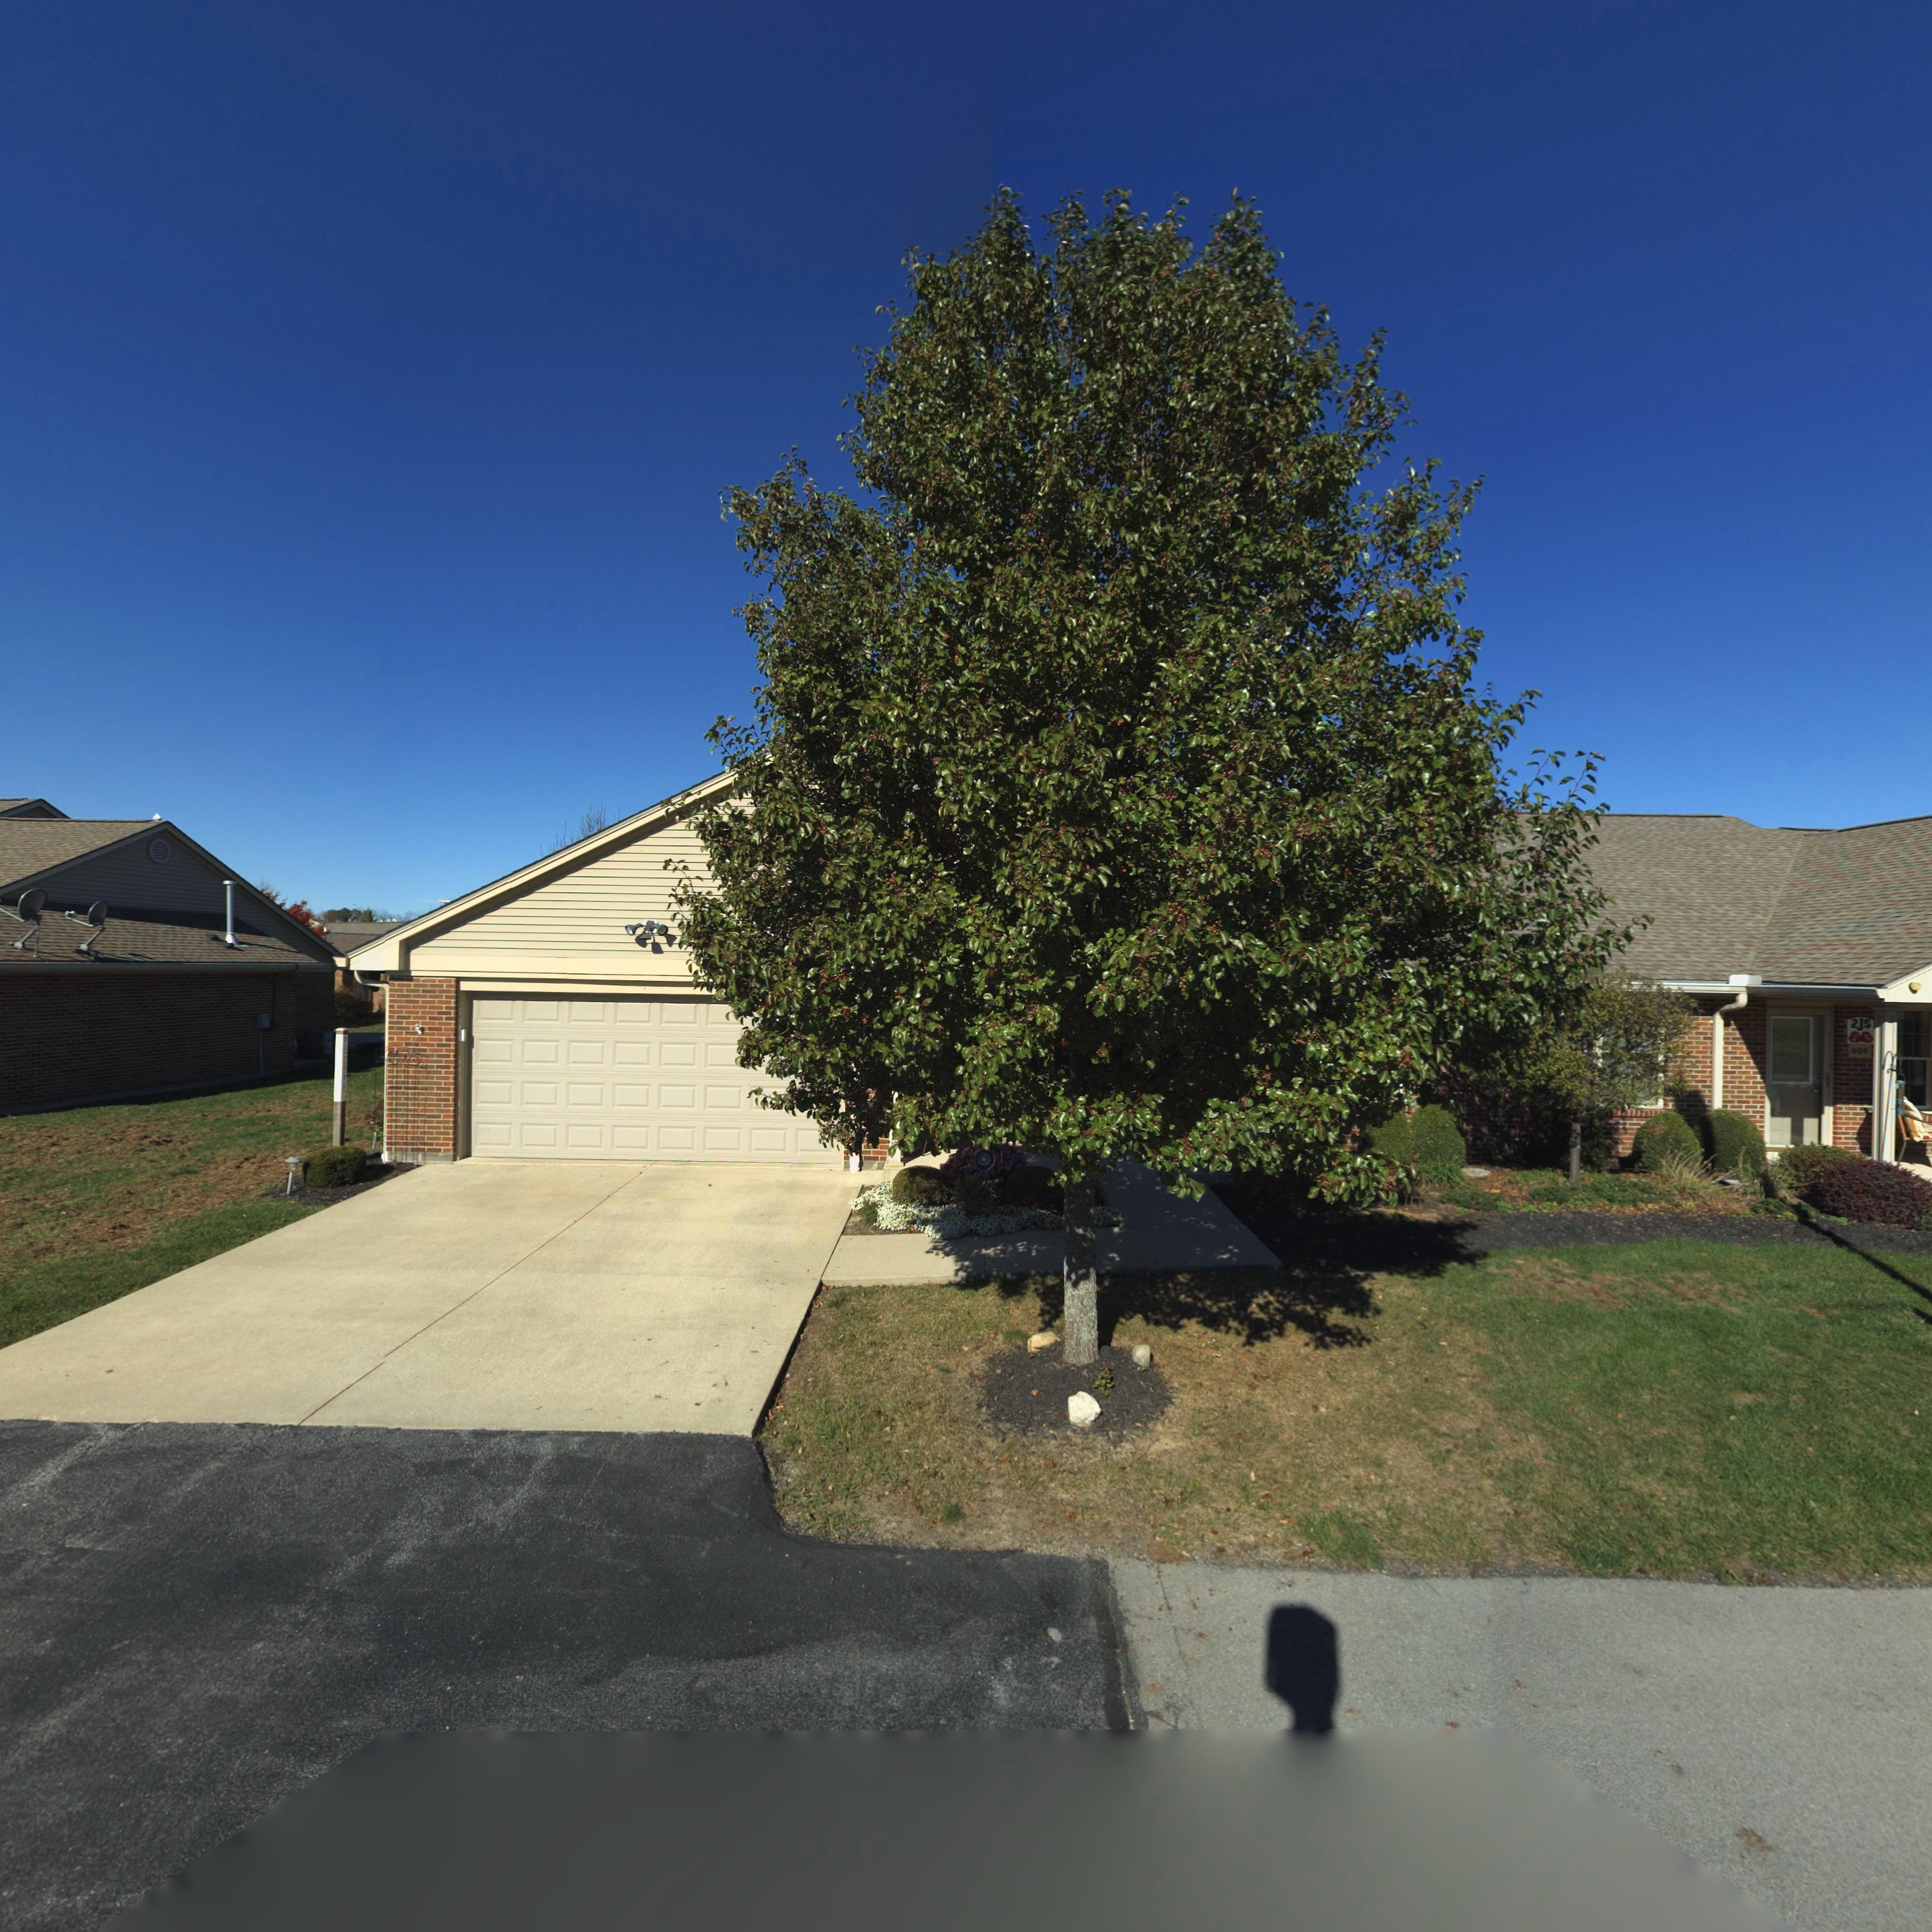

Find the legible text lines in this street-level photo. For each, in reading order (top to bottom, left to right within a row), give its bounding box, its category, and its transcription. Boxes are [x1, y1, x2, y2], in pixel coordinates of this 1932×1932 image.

[1850, 1047, 1868, 1054] StreetNumber: 609